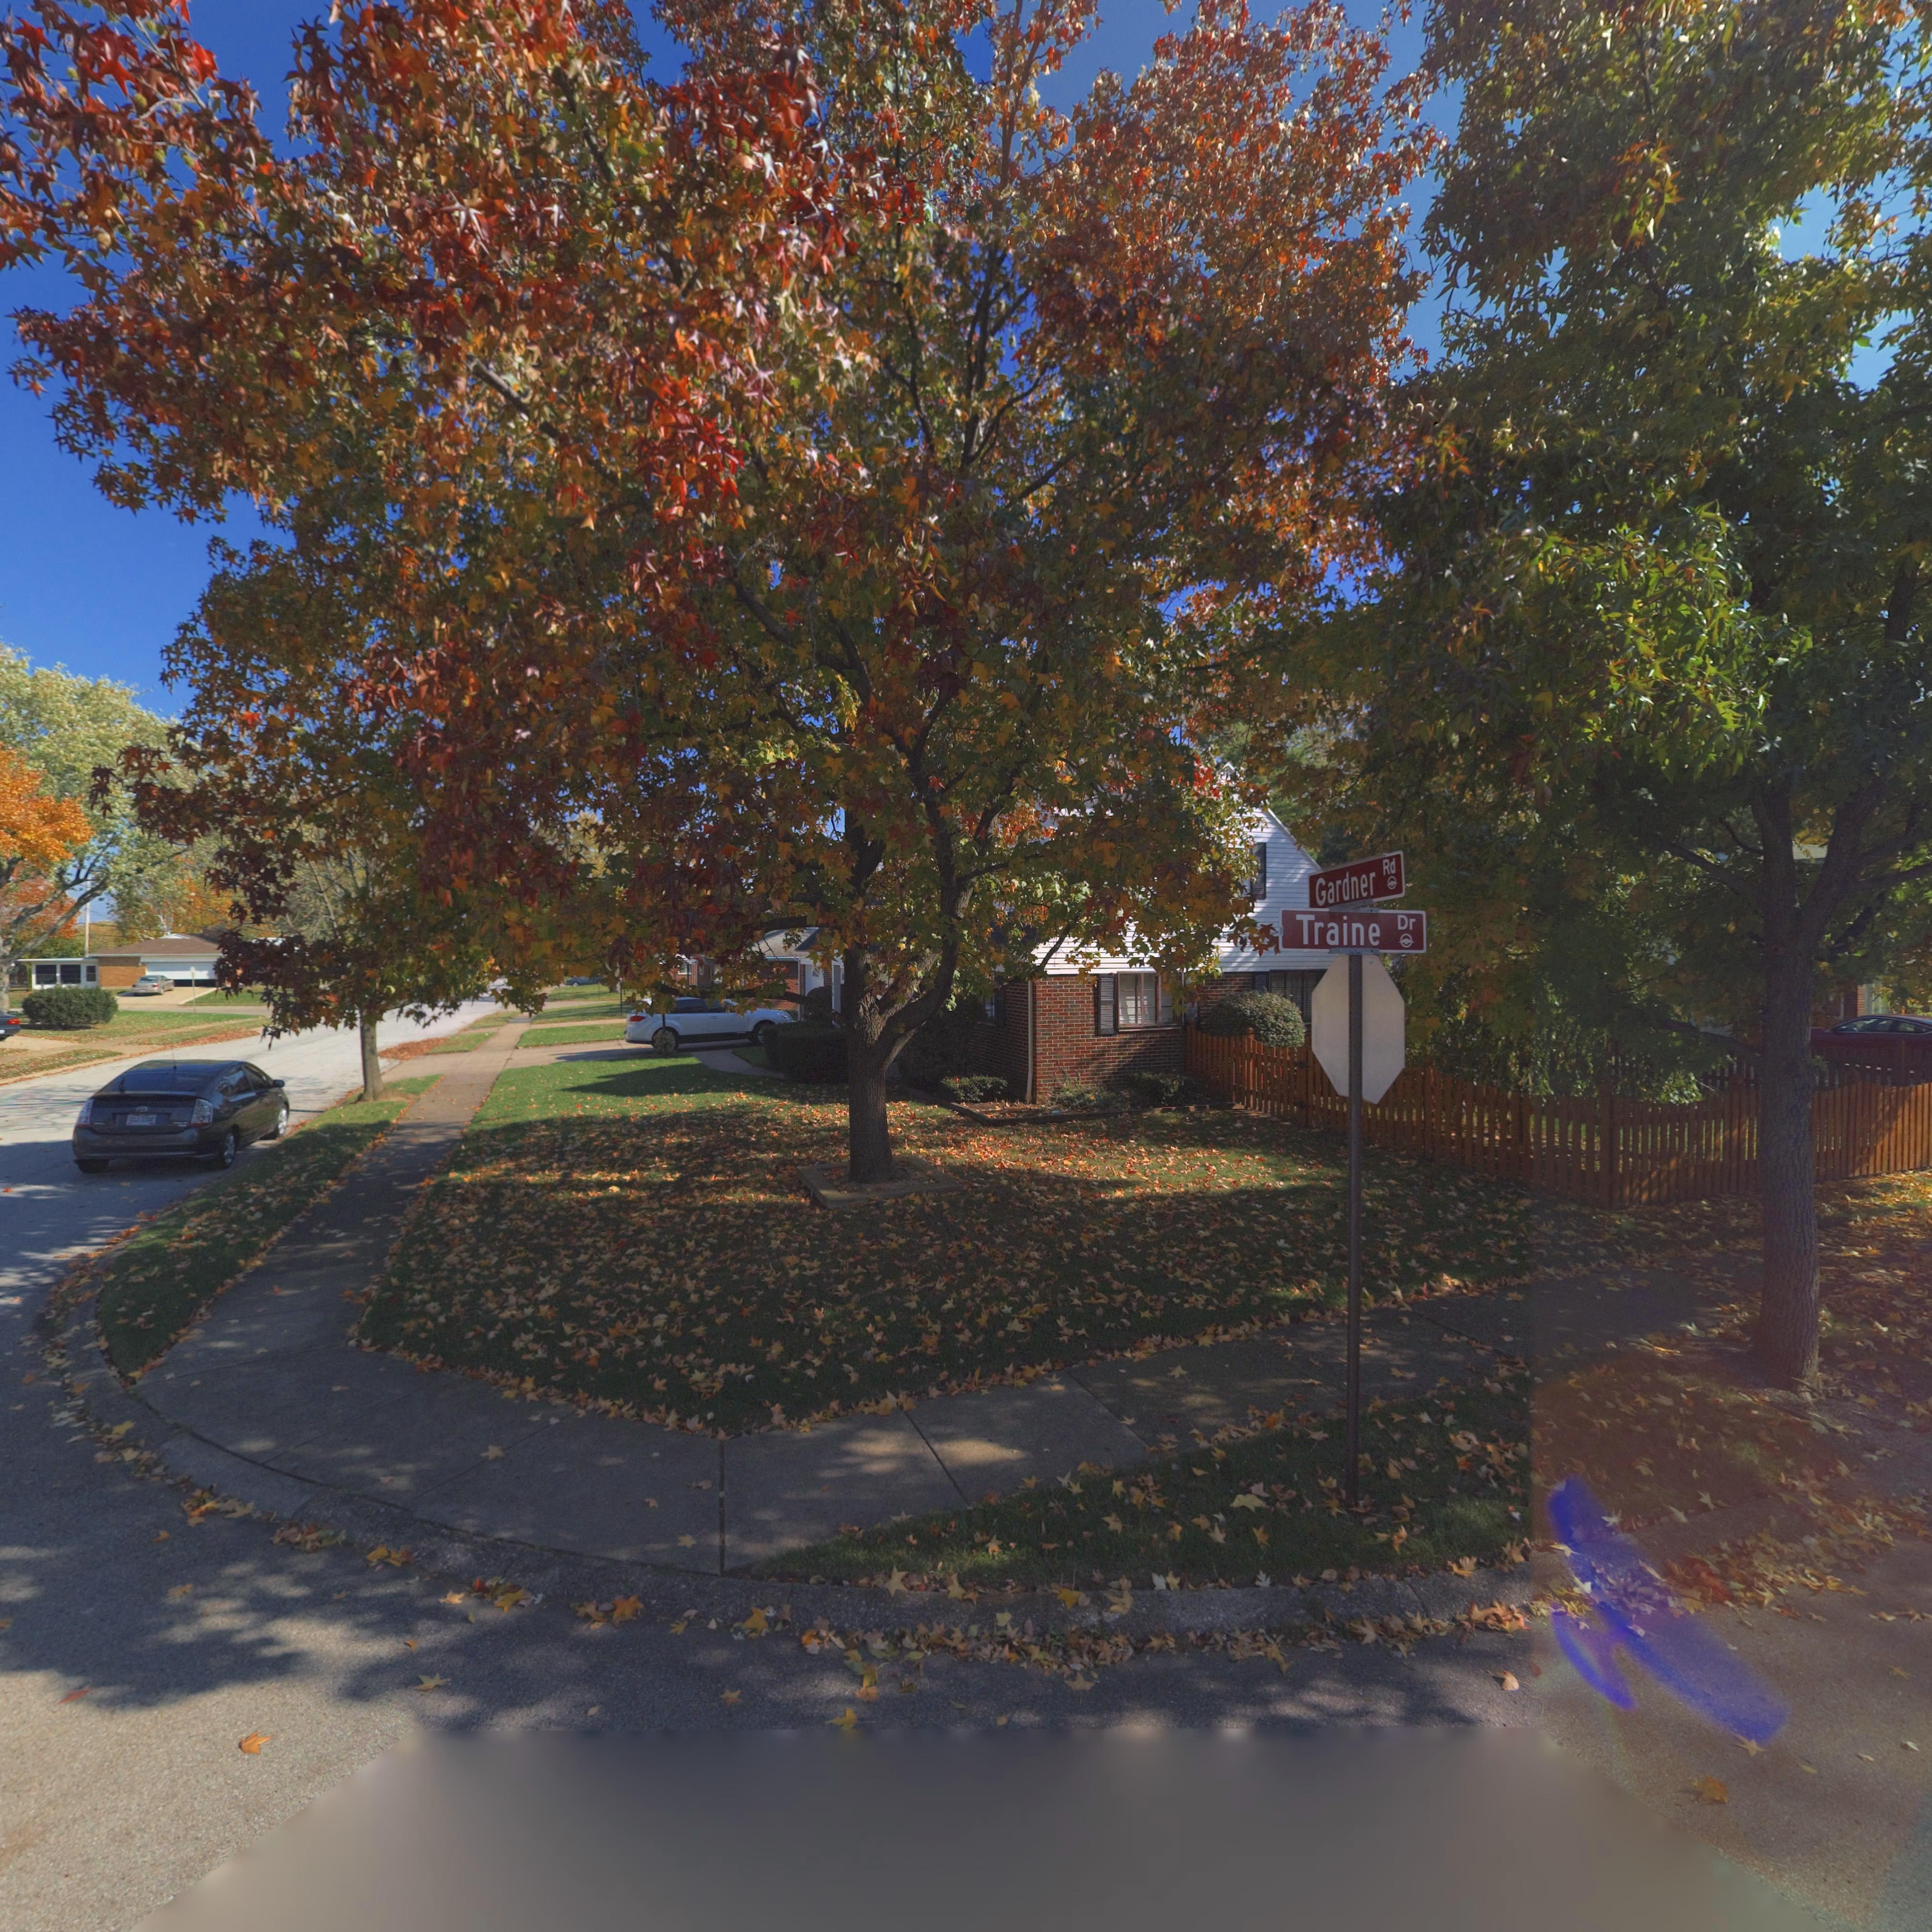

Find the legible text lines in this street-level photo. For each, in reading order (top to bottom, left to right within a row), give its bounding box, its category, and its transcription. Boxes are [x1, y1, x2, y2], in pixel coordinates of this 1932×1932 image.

[1314, 856, 1397, 908] StreetName: Gardner Rd
[1294, 913, 1417, 947] StreetName: Traine Dr